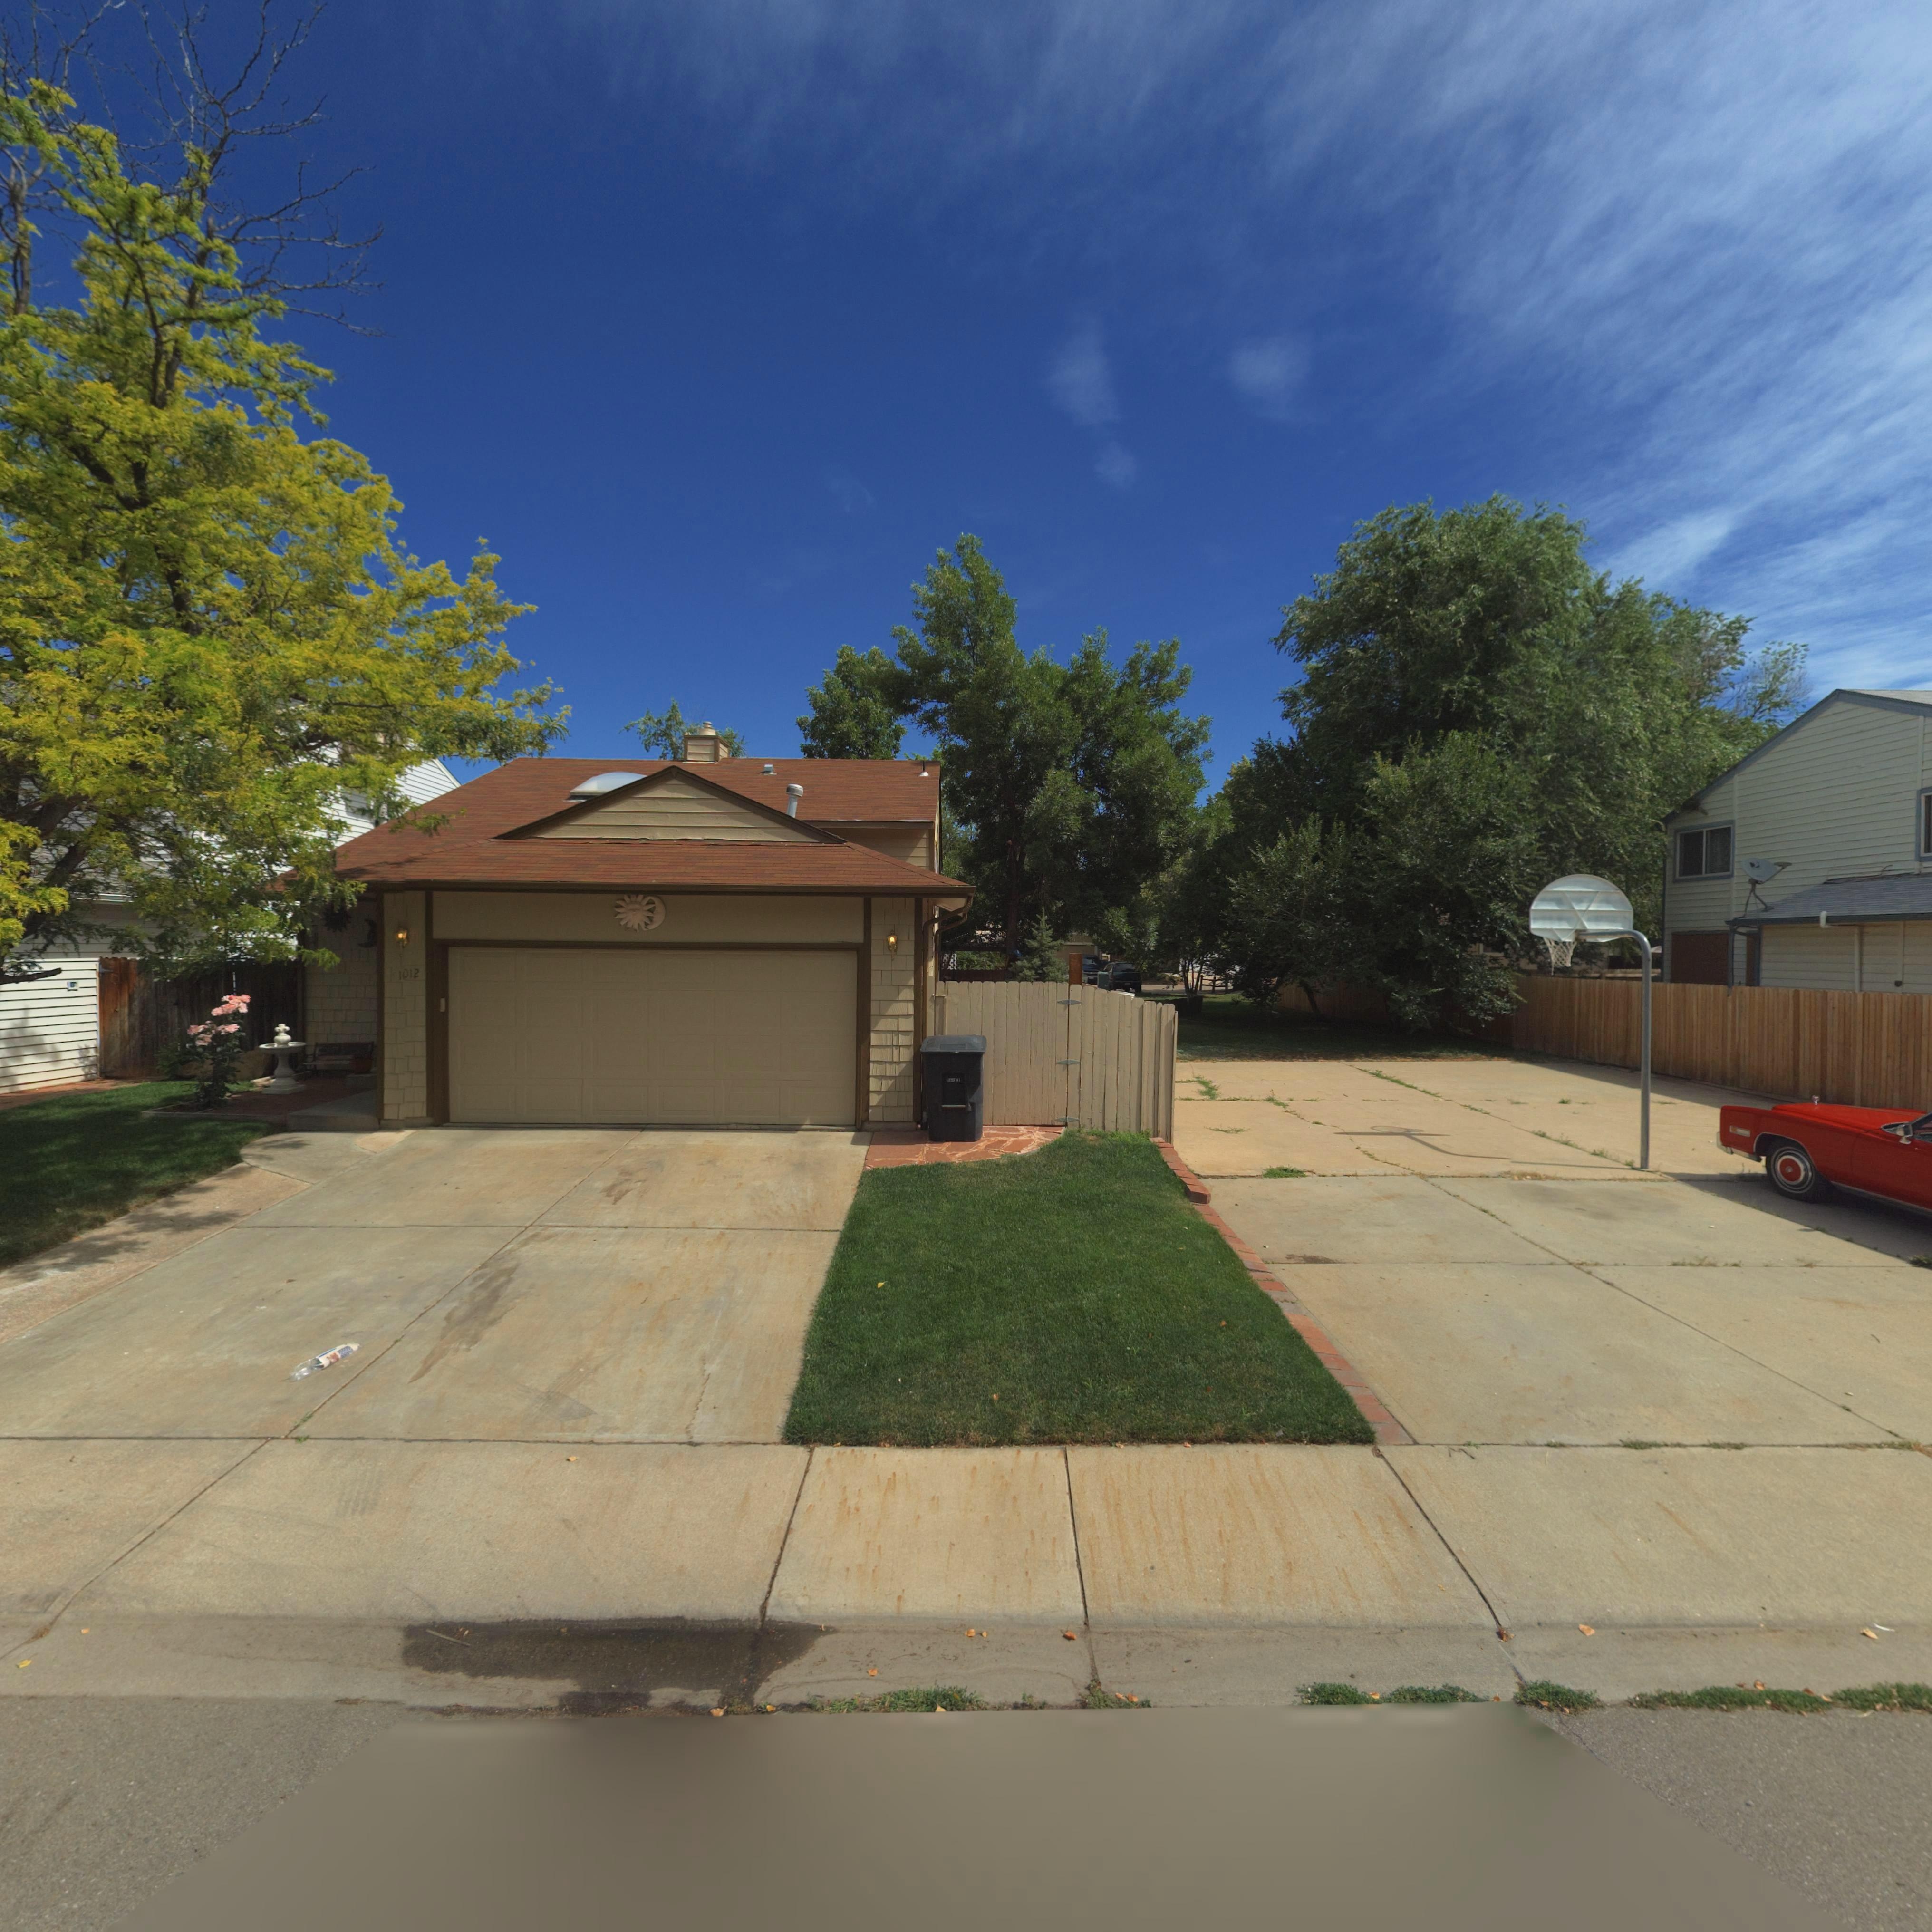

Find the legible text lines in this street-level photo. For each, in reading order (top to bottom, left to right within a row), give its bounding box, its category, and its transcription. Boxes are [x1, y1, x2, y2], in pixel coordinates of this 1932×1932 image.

[398, 968, 420, 980] StreetNumber: 1012